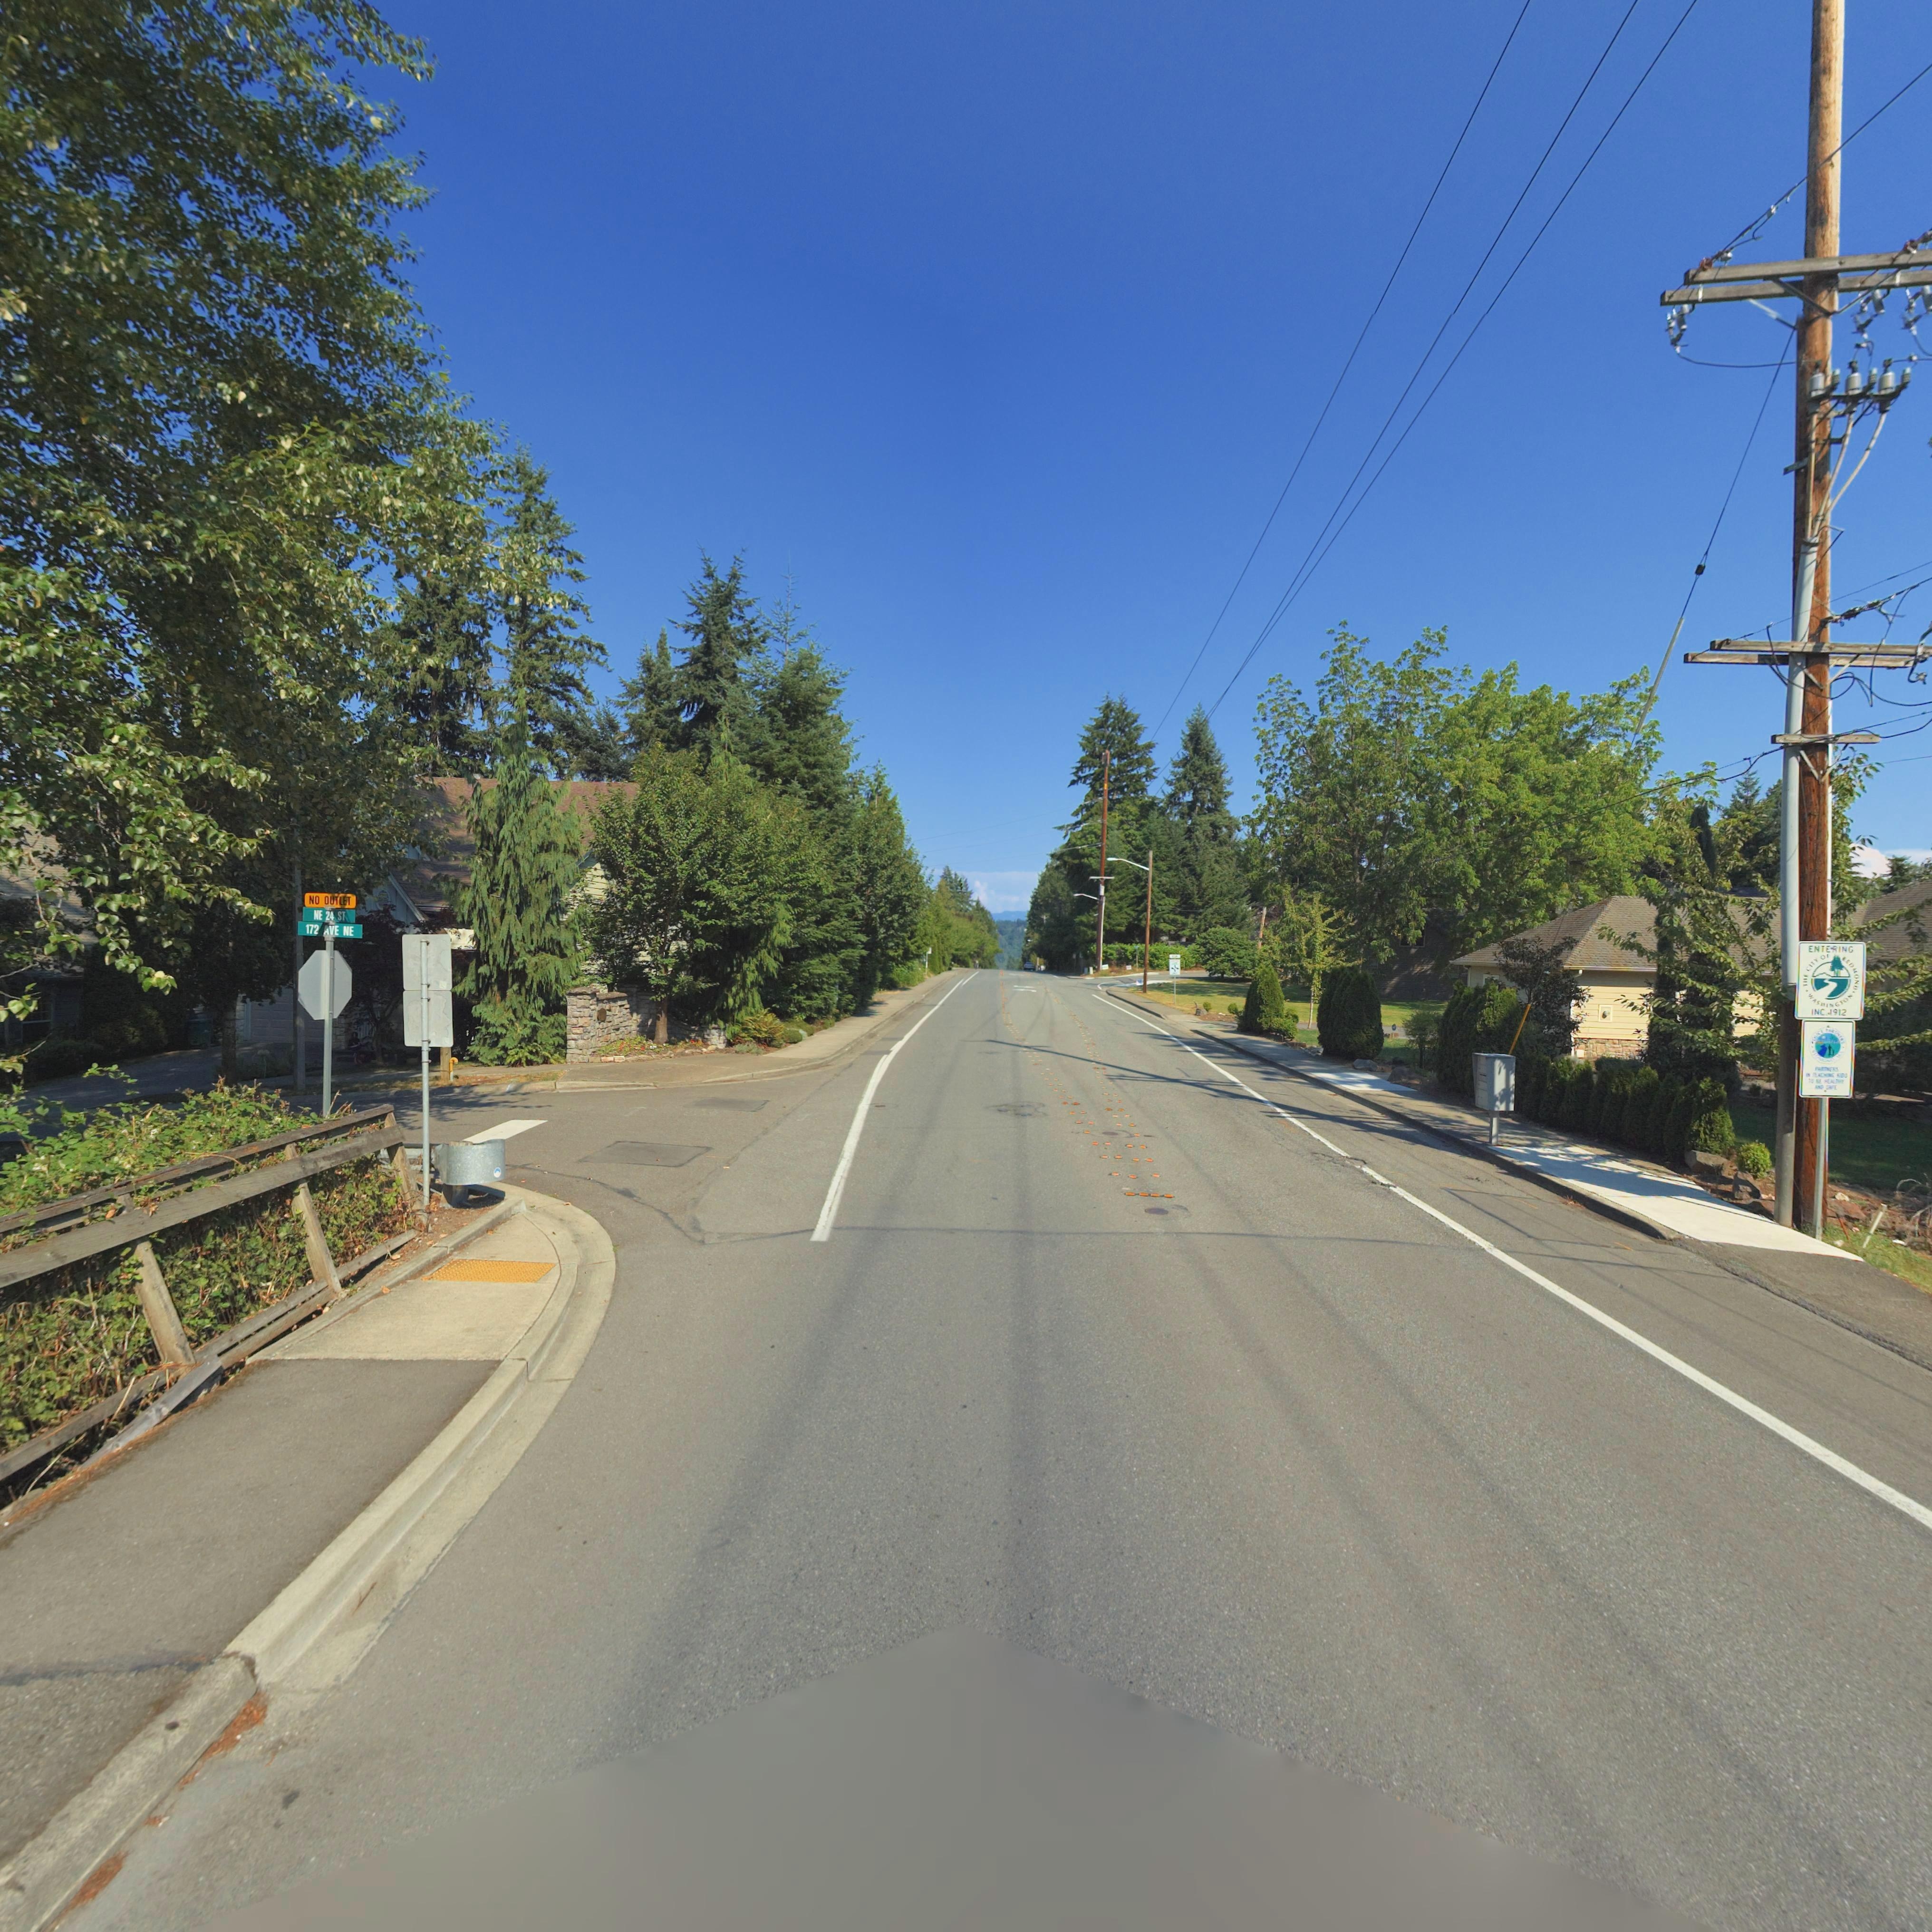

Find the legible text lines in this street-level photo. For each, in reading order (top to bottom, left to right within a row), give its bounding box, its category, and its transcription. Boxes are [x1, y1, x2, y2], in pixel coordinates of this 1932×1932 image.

[314, 910, 345, 920] StreetName: NE 24 ST
[305, 924, 355, 937] StreetName: 172 AVE NE